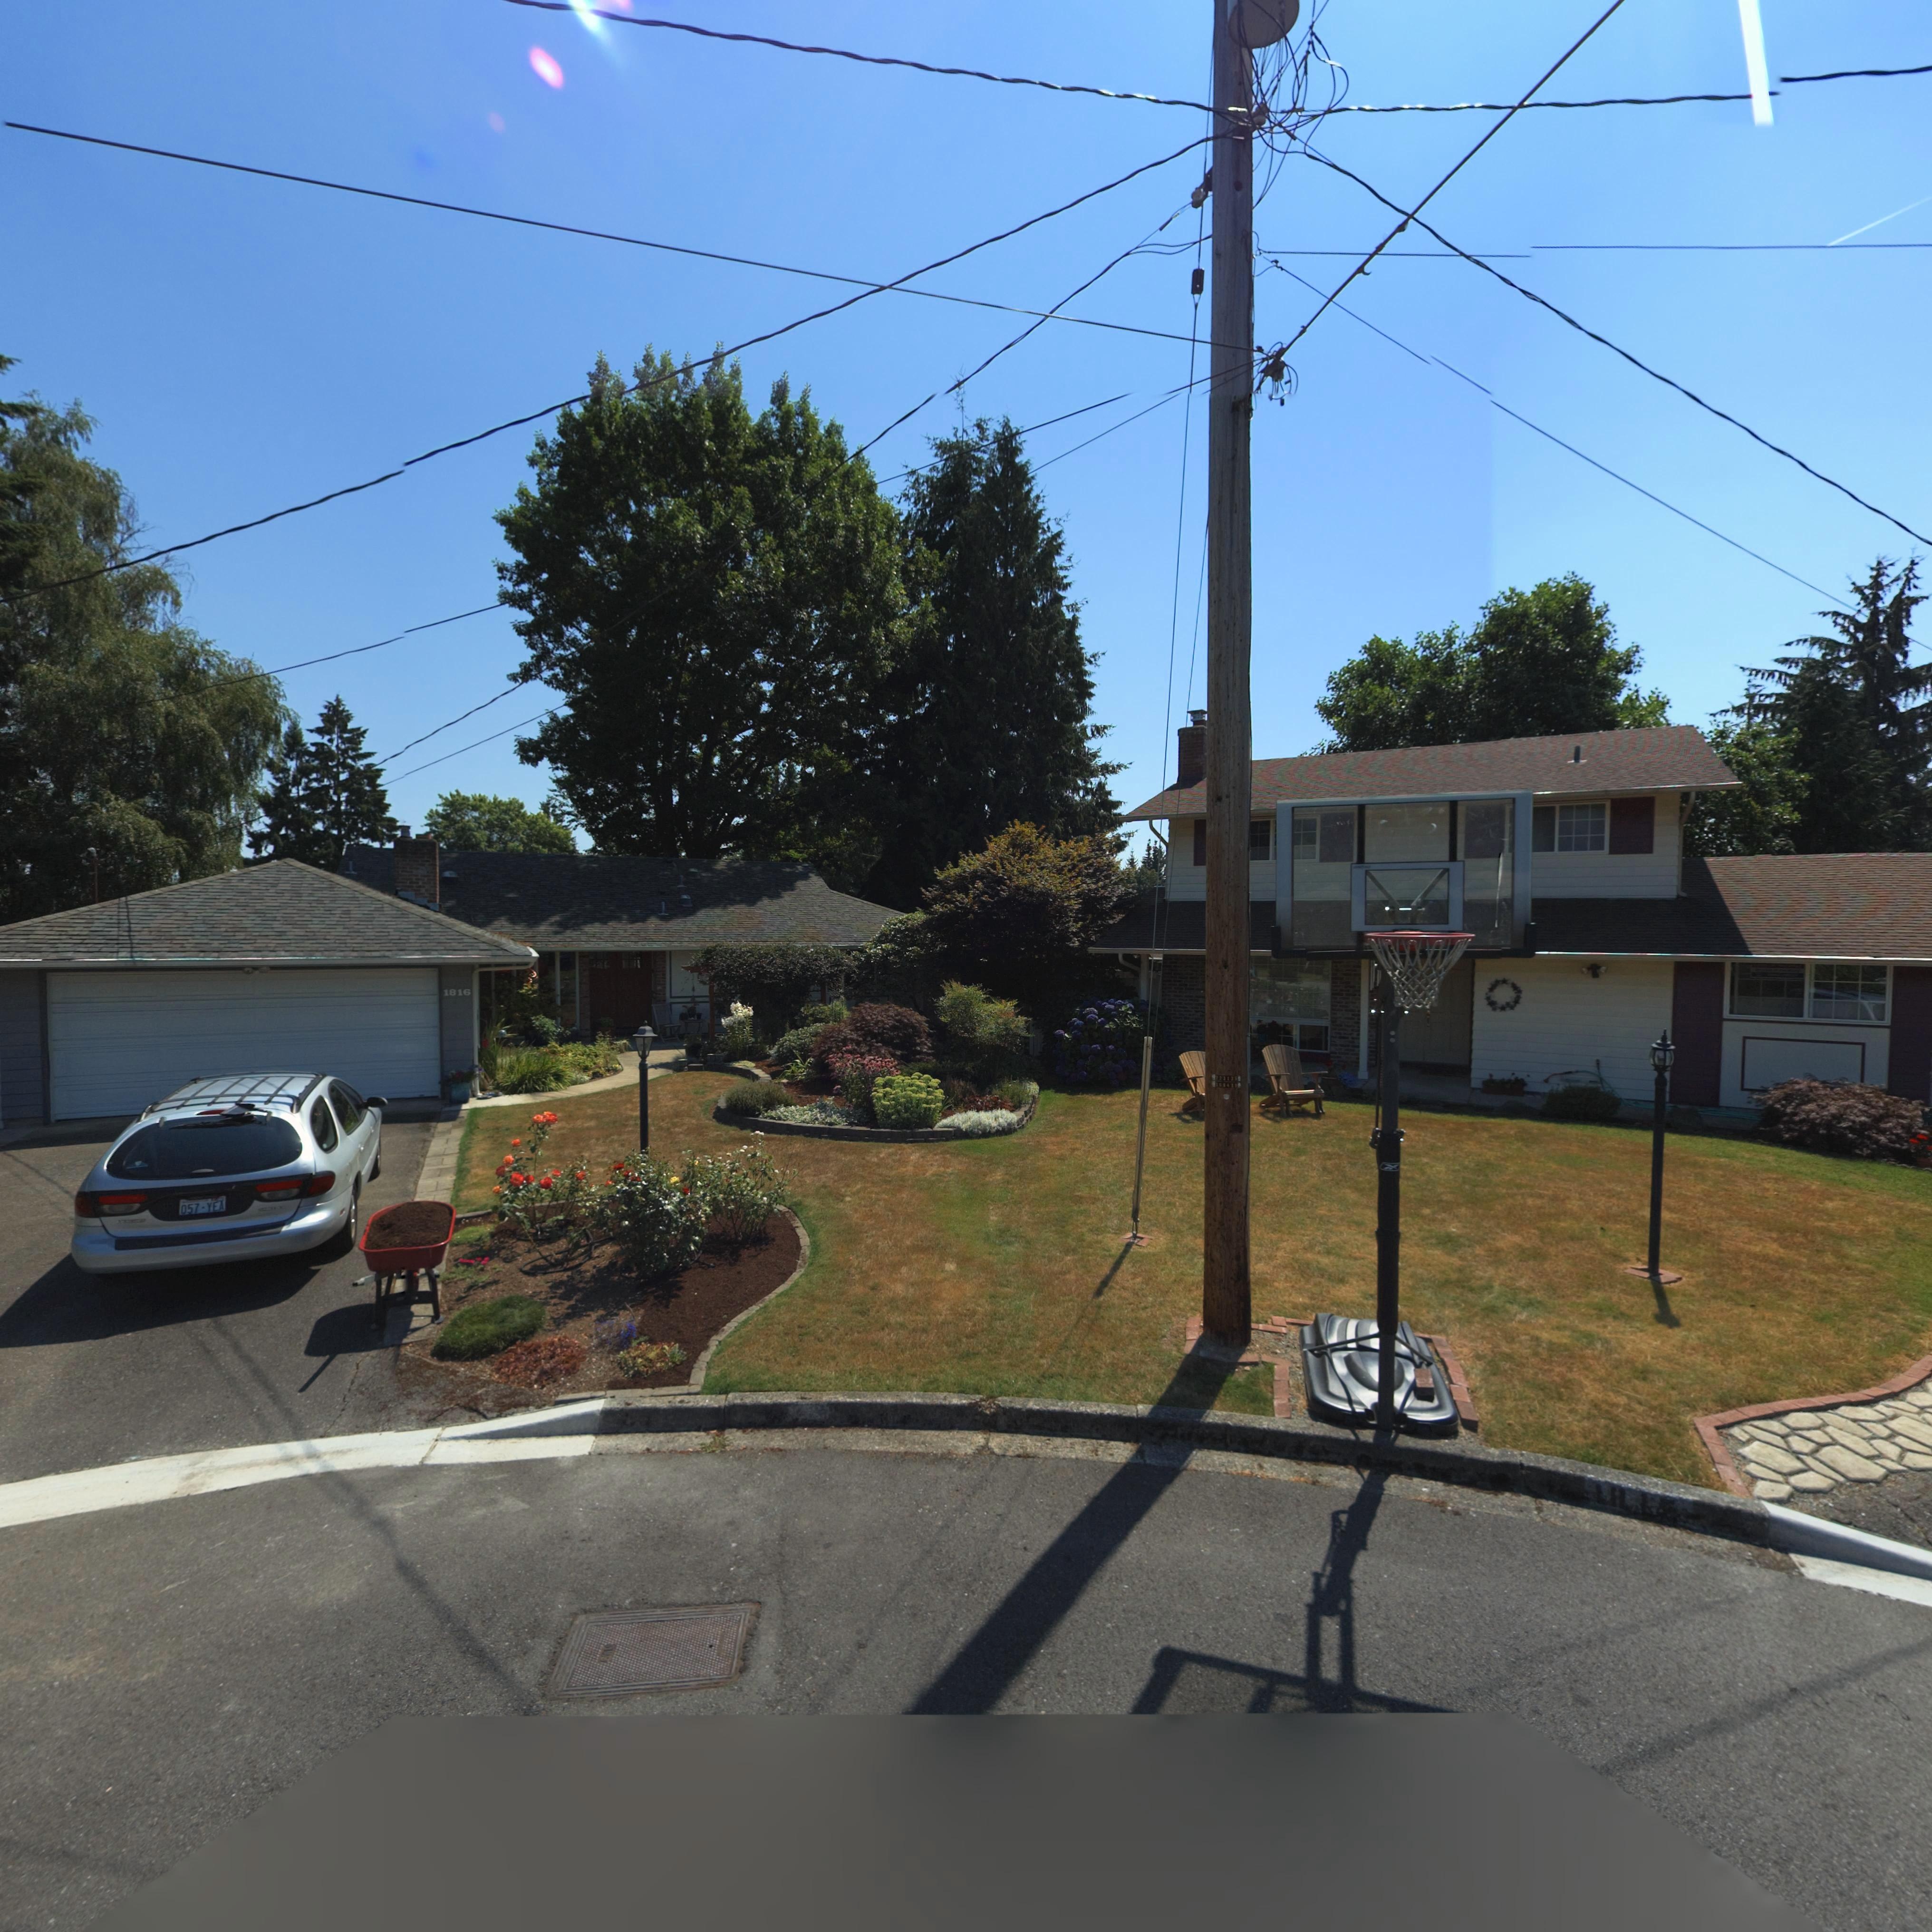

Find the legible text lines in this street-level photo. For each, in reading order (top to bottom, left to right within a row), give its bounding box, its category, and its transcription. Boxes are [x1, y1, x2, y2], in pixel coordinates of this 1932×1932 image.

[444, 989, 471, 996] StreetNumber: 1816